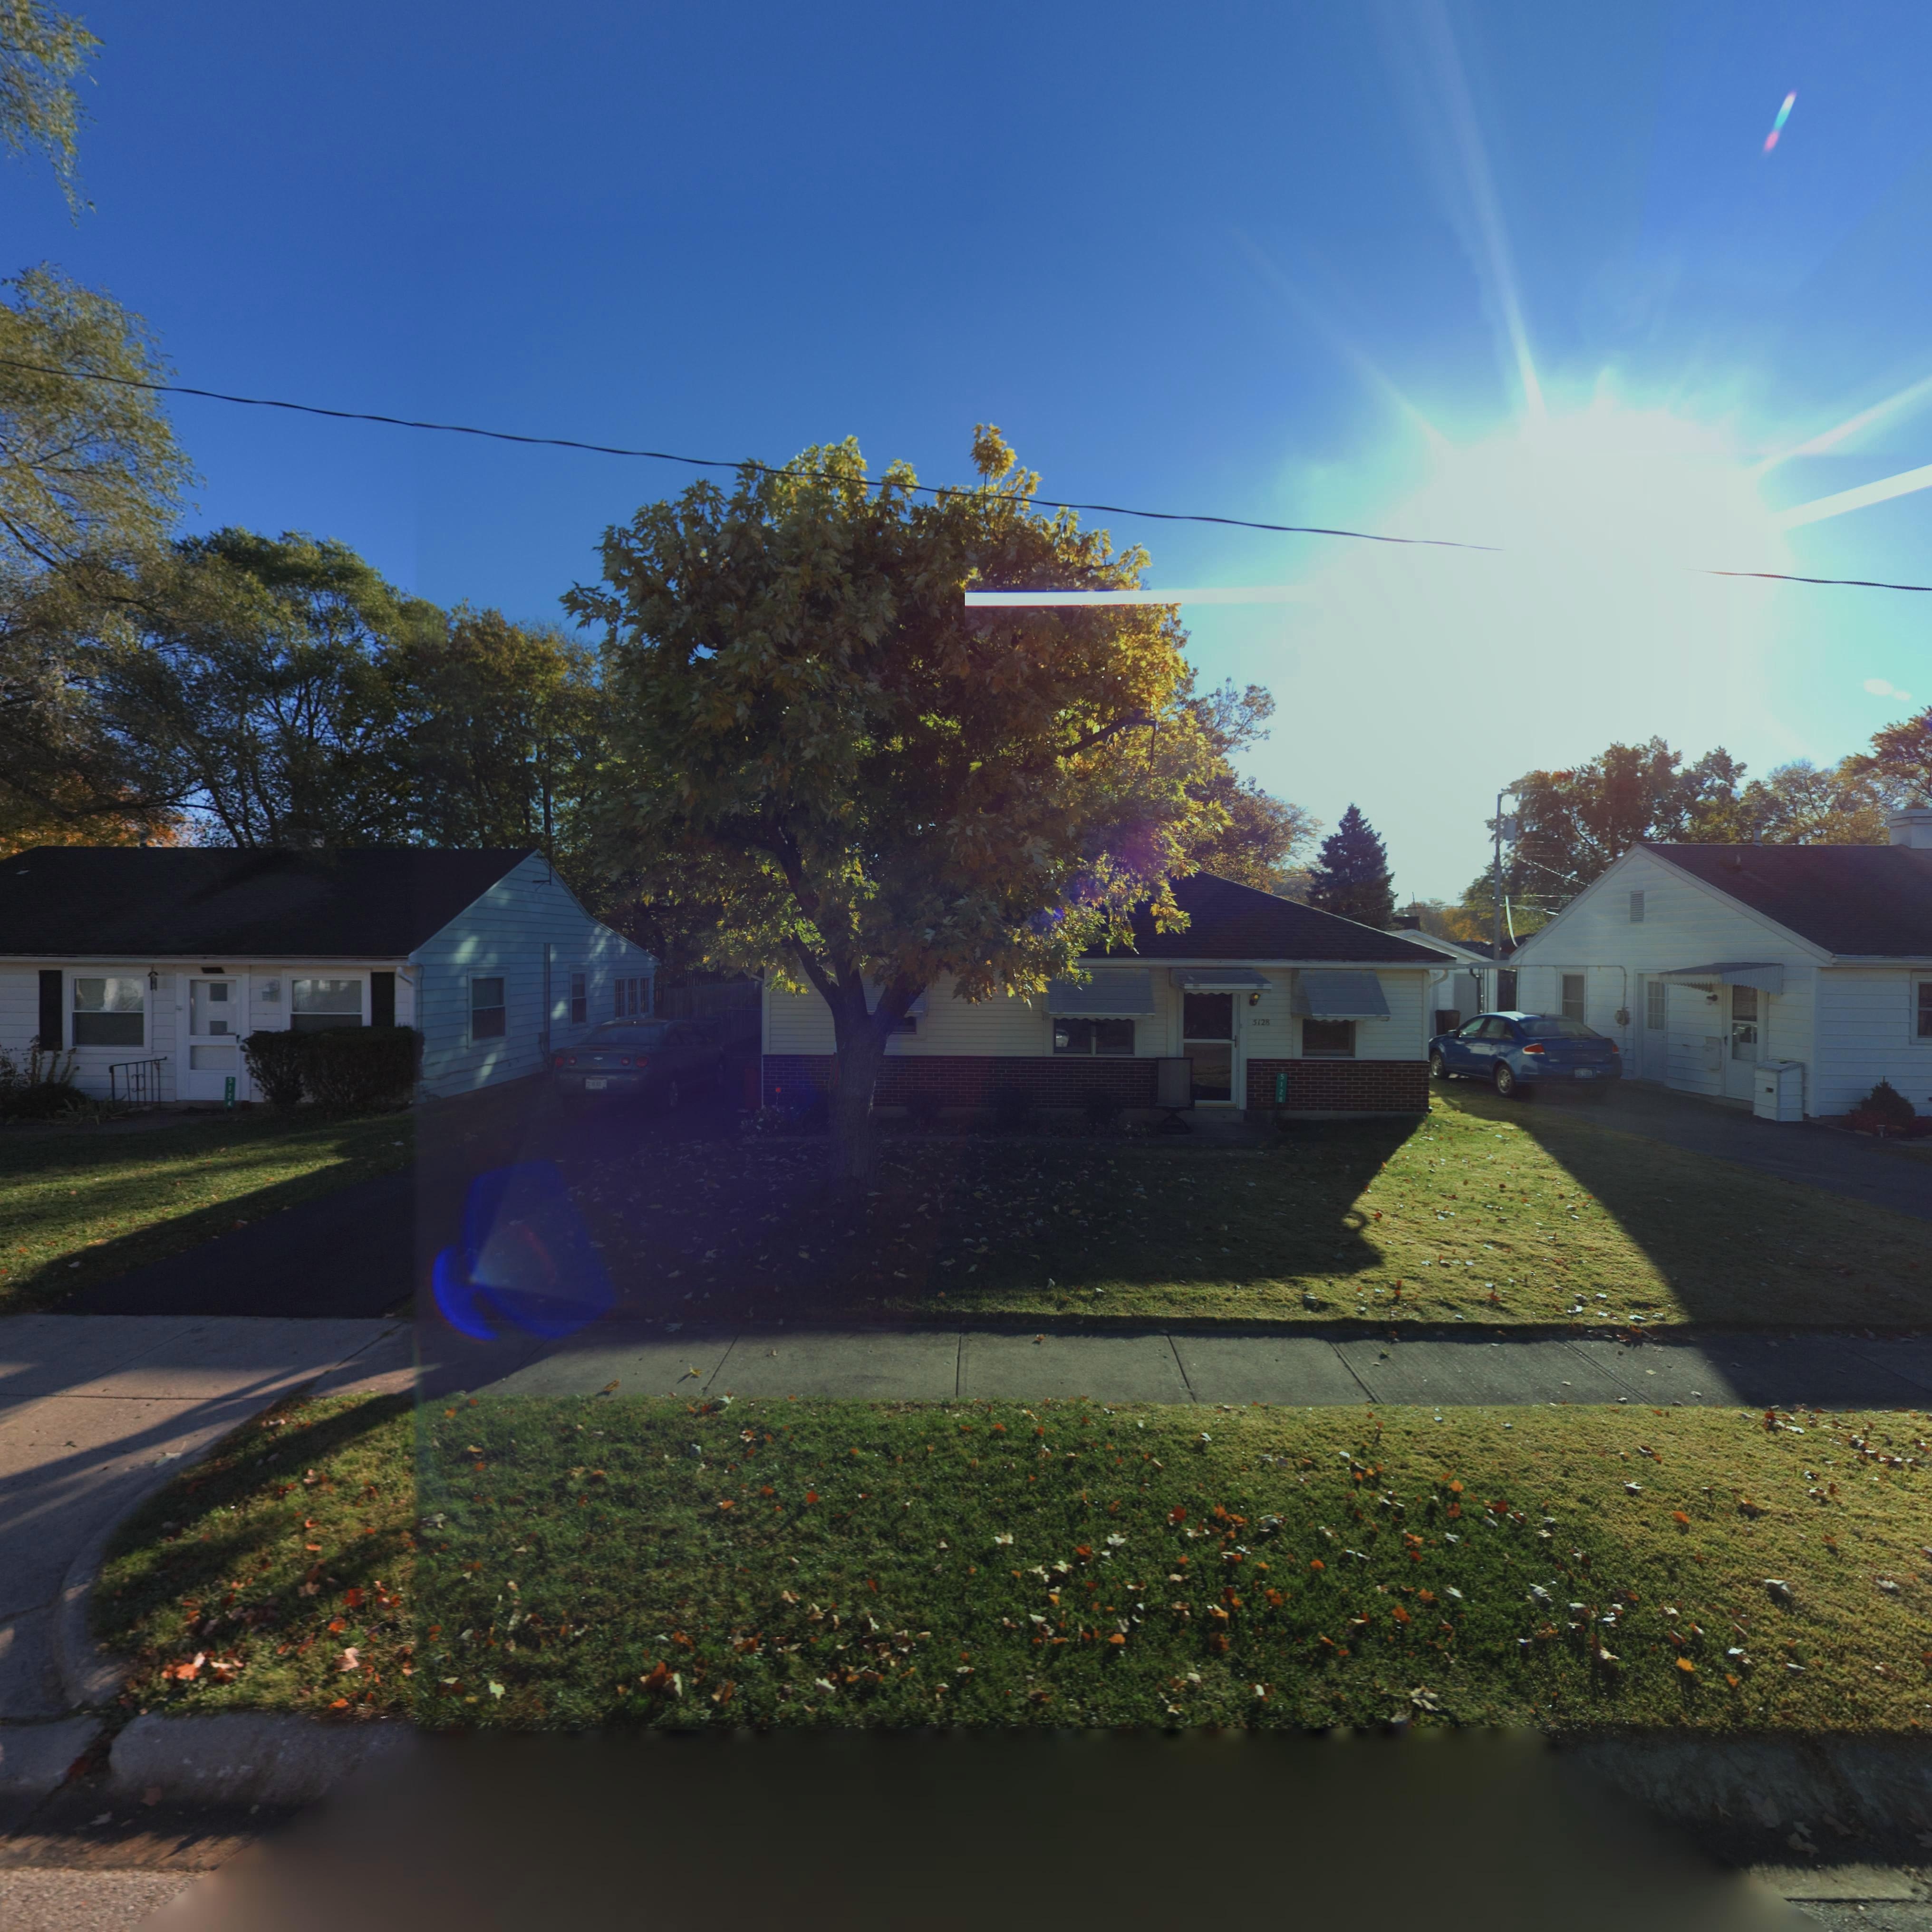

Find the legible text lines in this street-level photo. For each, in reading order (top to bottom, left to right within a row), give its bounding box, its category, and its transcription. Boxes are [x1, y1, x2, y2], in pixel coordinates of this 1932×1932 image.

[1251, 1019, 1270, 1026] StreetNumber: 5128
[227, 1077, 233, 1107] StreetNumber: 5124
[1277, 1073, 1285, 1103] StreetNumber: 5128